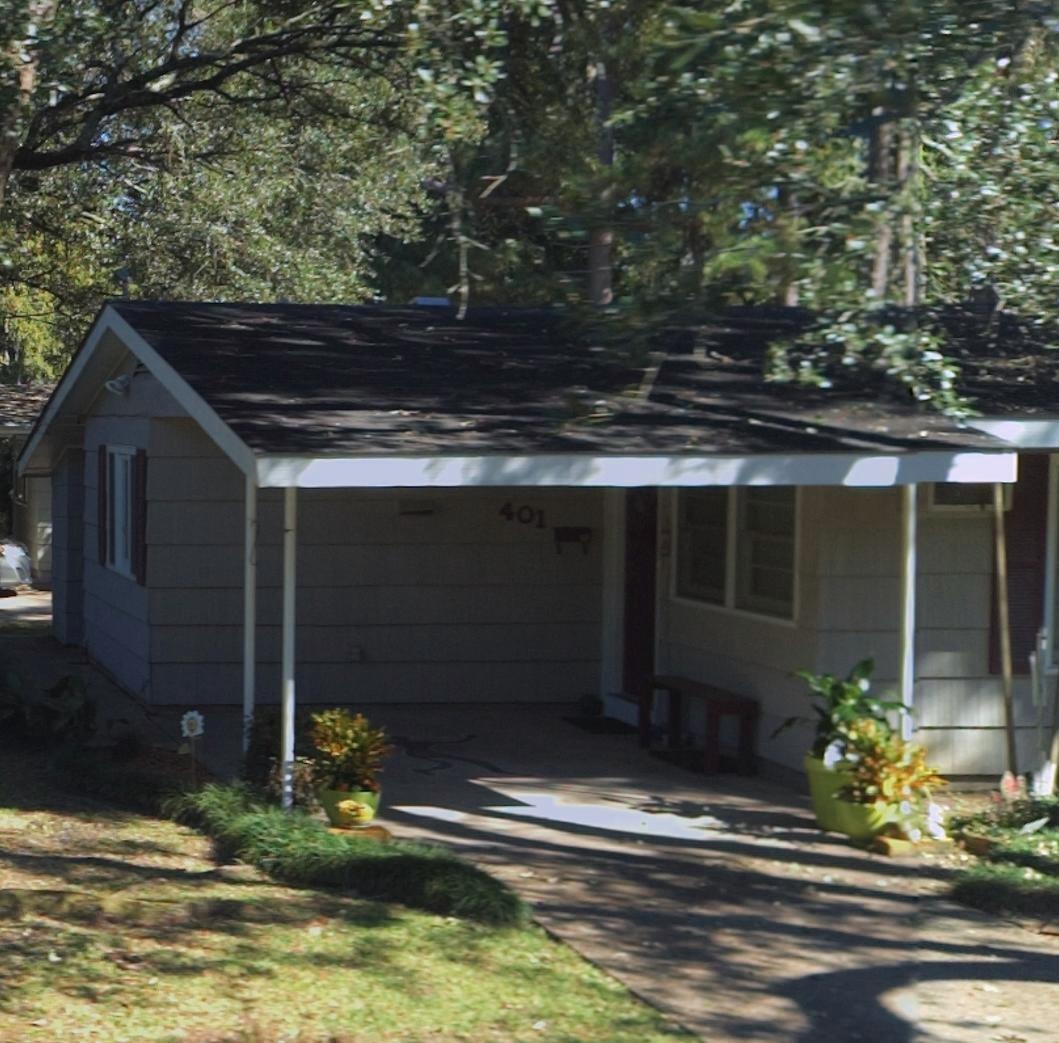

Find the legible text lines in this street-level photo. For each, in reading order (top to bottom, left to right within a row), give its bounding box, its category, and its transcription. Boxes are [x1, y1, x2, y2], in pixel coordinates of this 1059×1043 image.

[499, 499, 546, 531] StreetNumber: 401